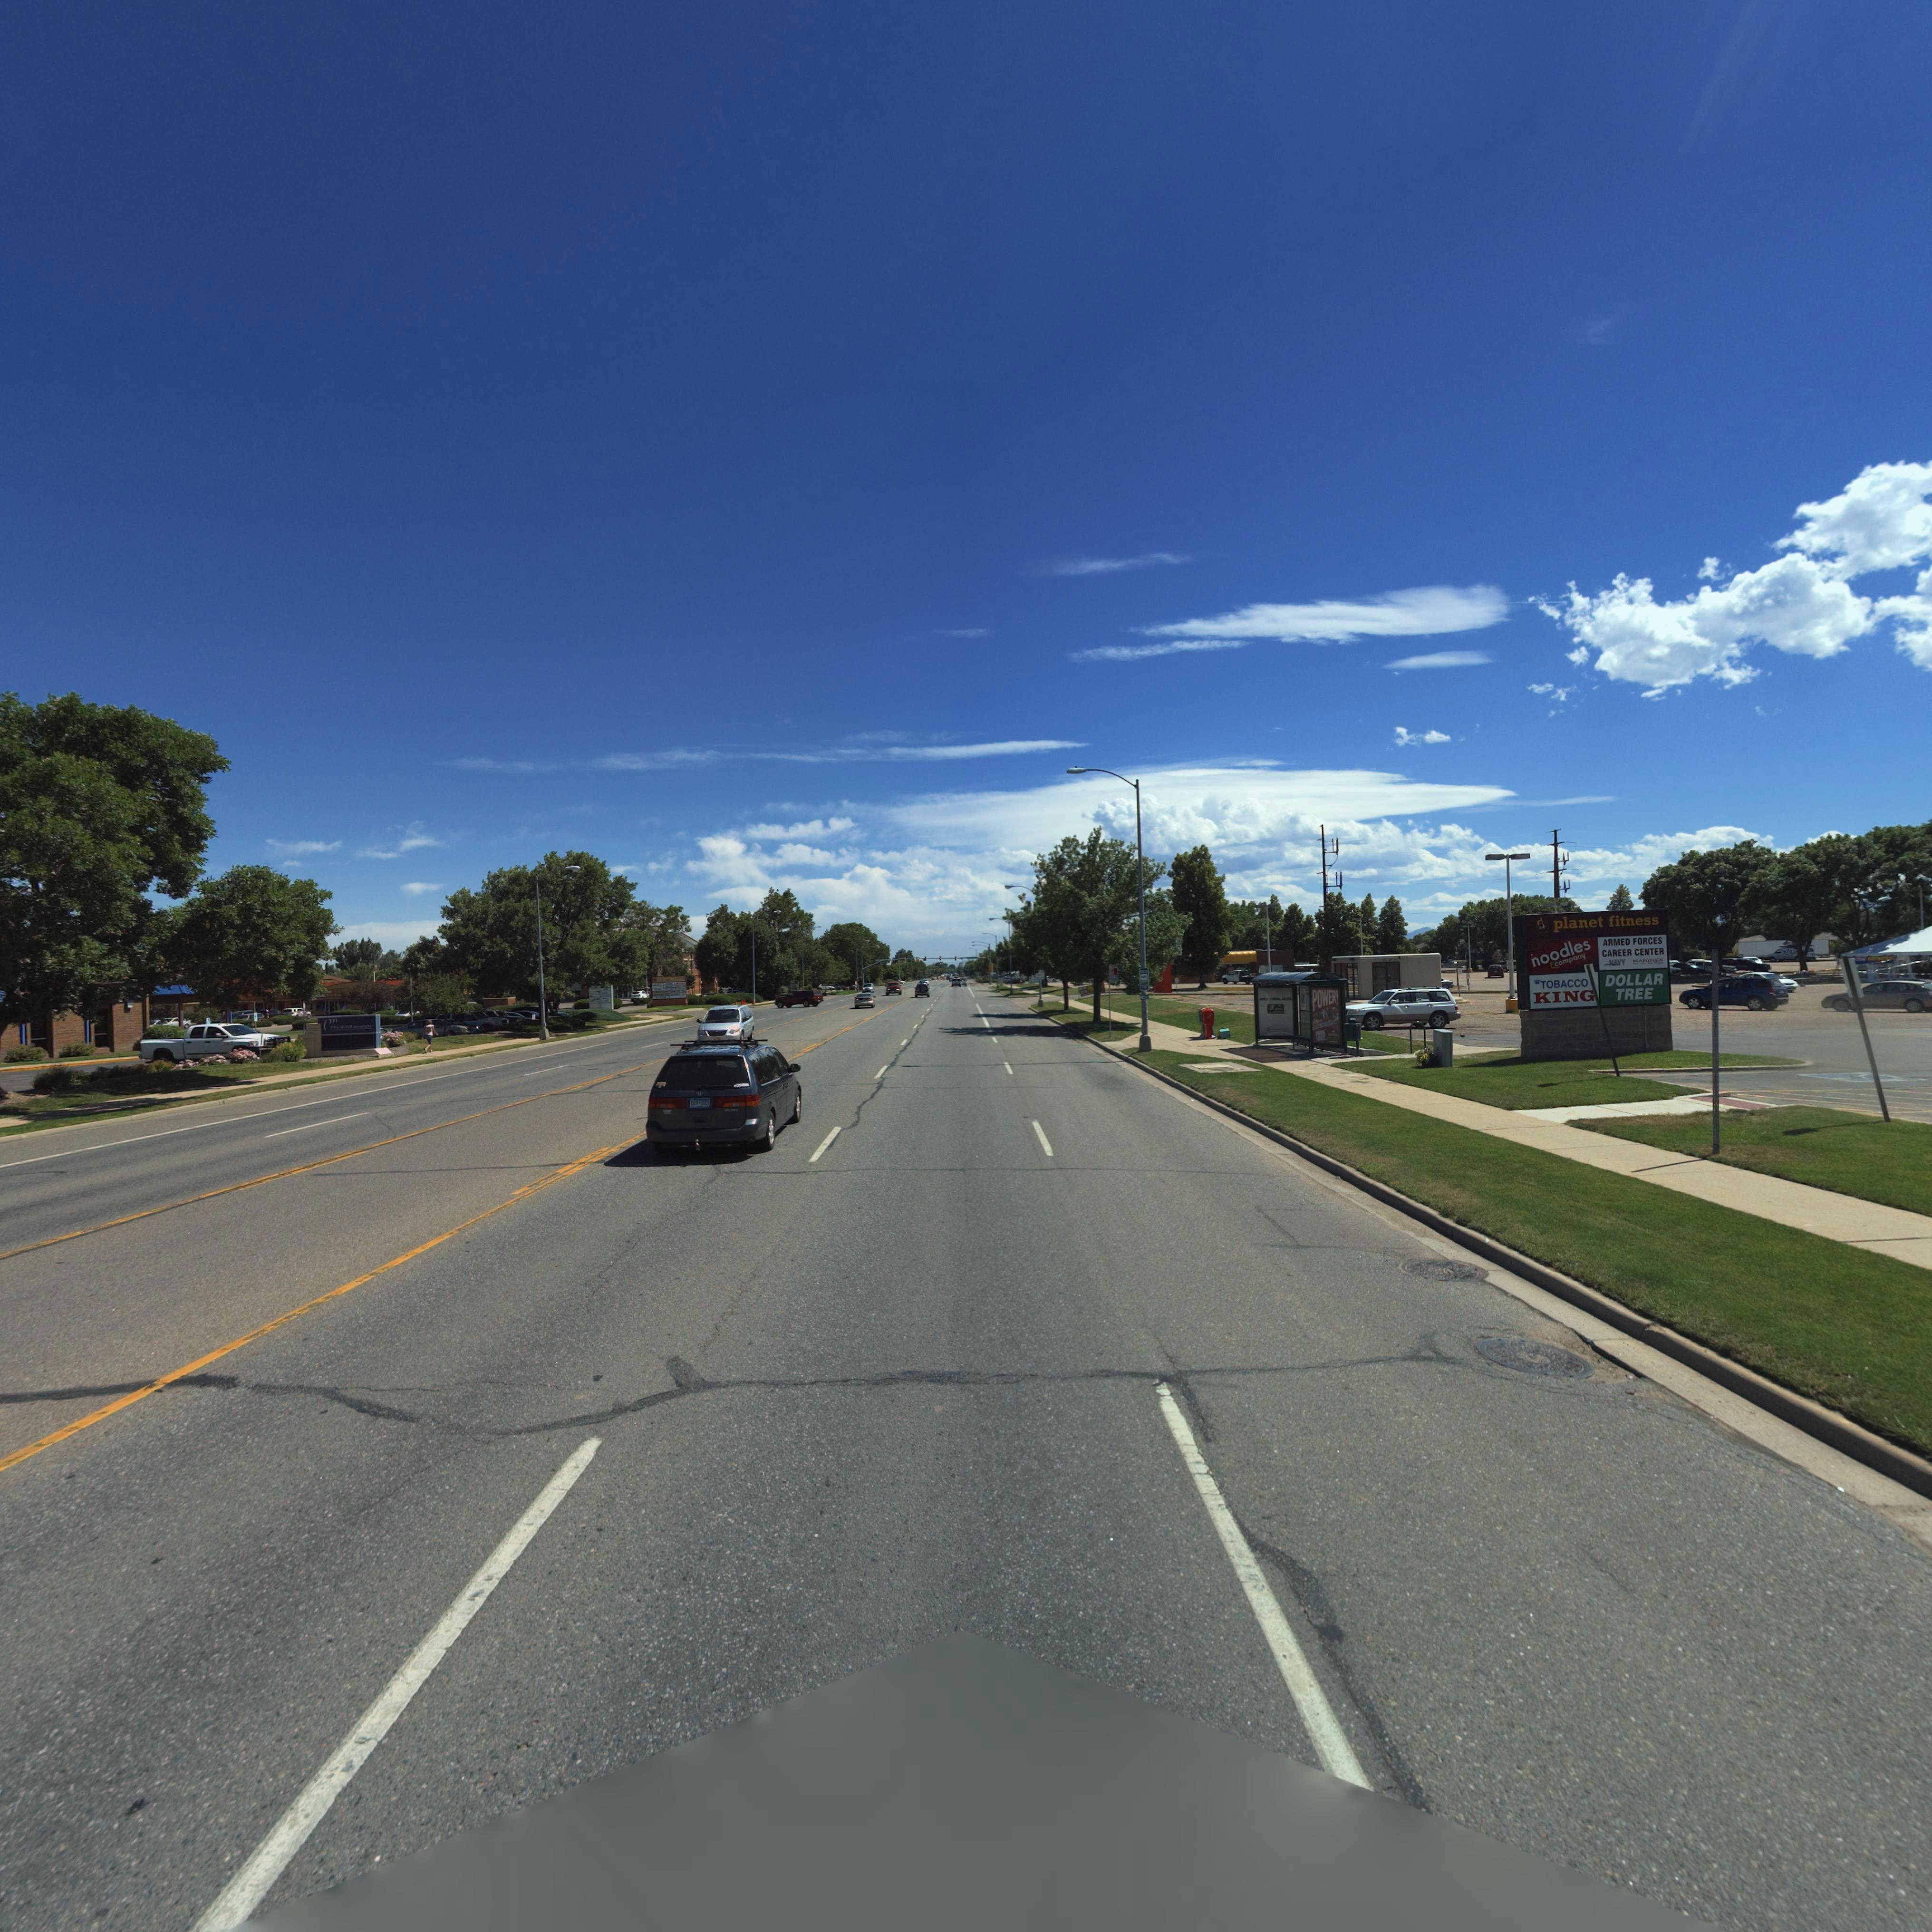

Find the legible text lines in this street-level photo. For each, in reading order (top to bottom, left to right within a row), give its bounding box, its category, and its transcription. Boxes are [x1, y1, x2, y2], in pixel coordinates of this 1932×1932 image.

[1553, 914, 1659, 933] BusinessName: planet fitness
[1602, 937, 1662, 946] BusinessName: ARMED FORCES
[1530, 940, 1591, 967] BusinessName: noodles
[1549, 953, 1586, 969] BusinessName: * company
[1601, 947, 1664, 957] BusinessName: CAREER CENTER
[1540, 978, 1588, 989] BusinessName: TOBACCO
[1604, 973, 1664, 987] BusinessName: DOLLAR
[1533, 989, 1595, 1004] BusinessName: KING
[1615, 987, 1653, 1001] BusinessName: TREE
[330, 1024, 352, 1029] BusinessName: **I****